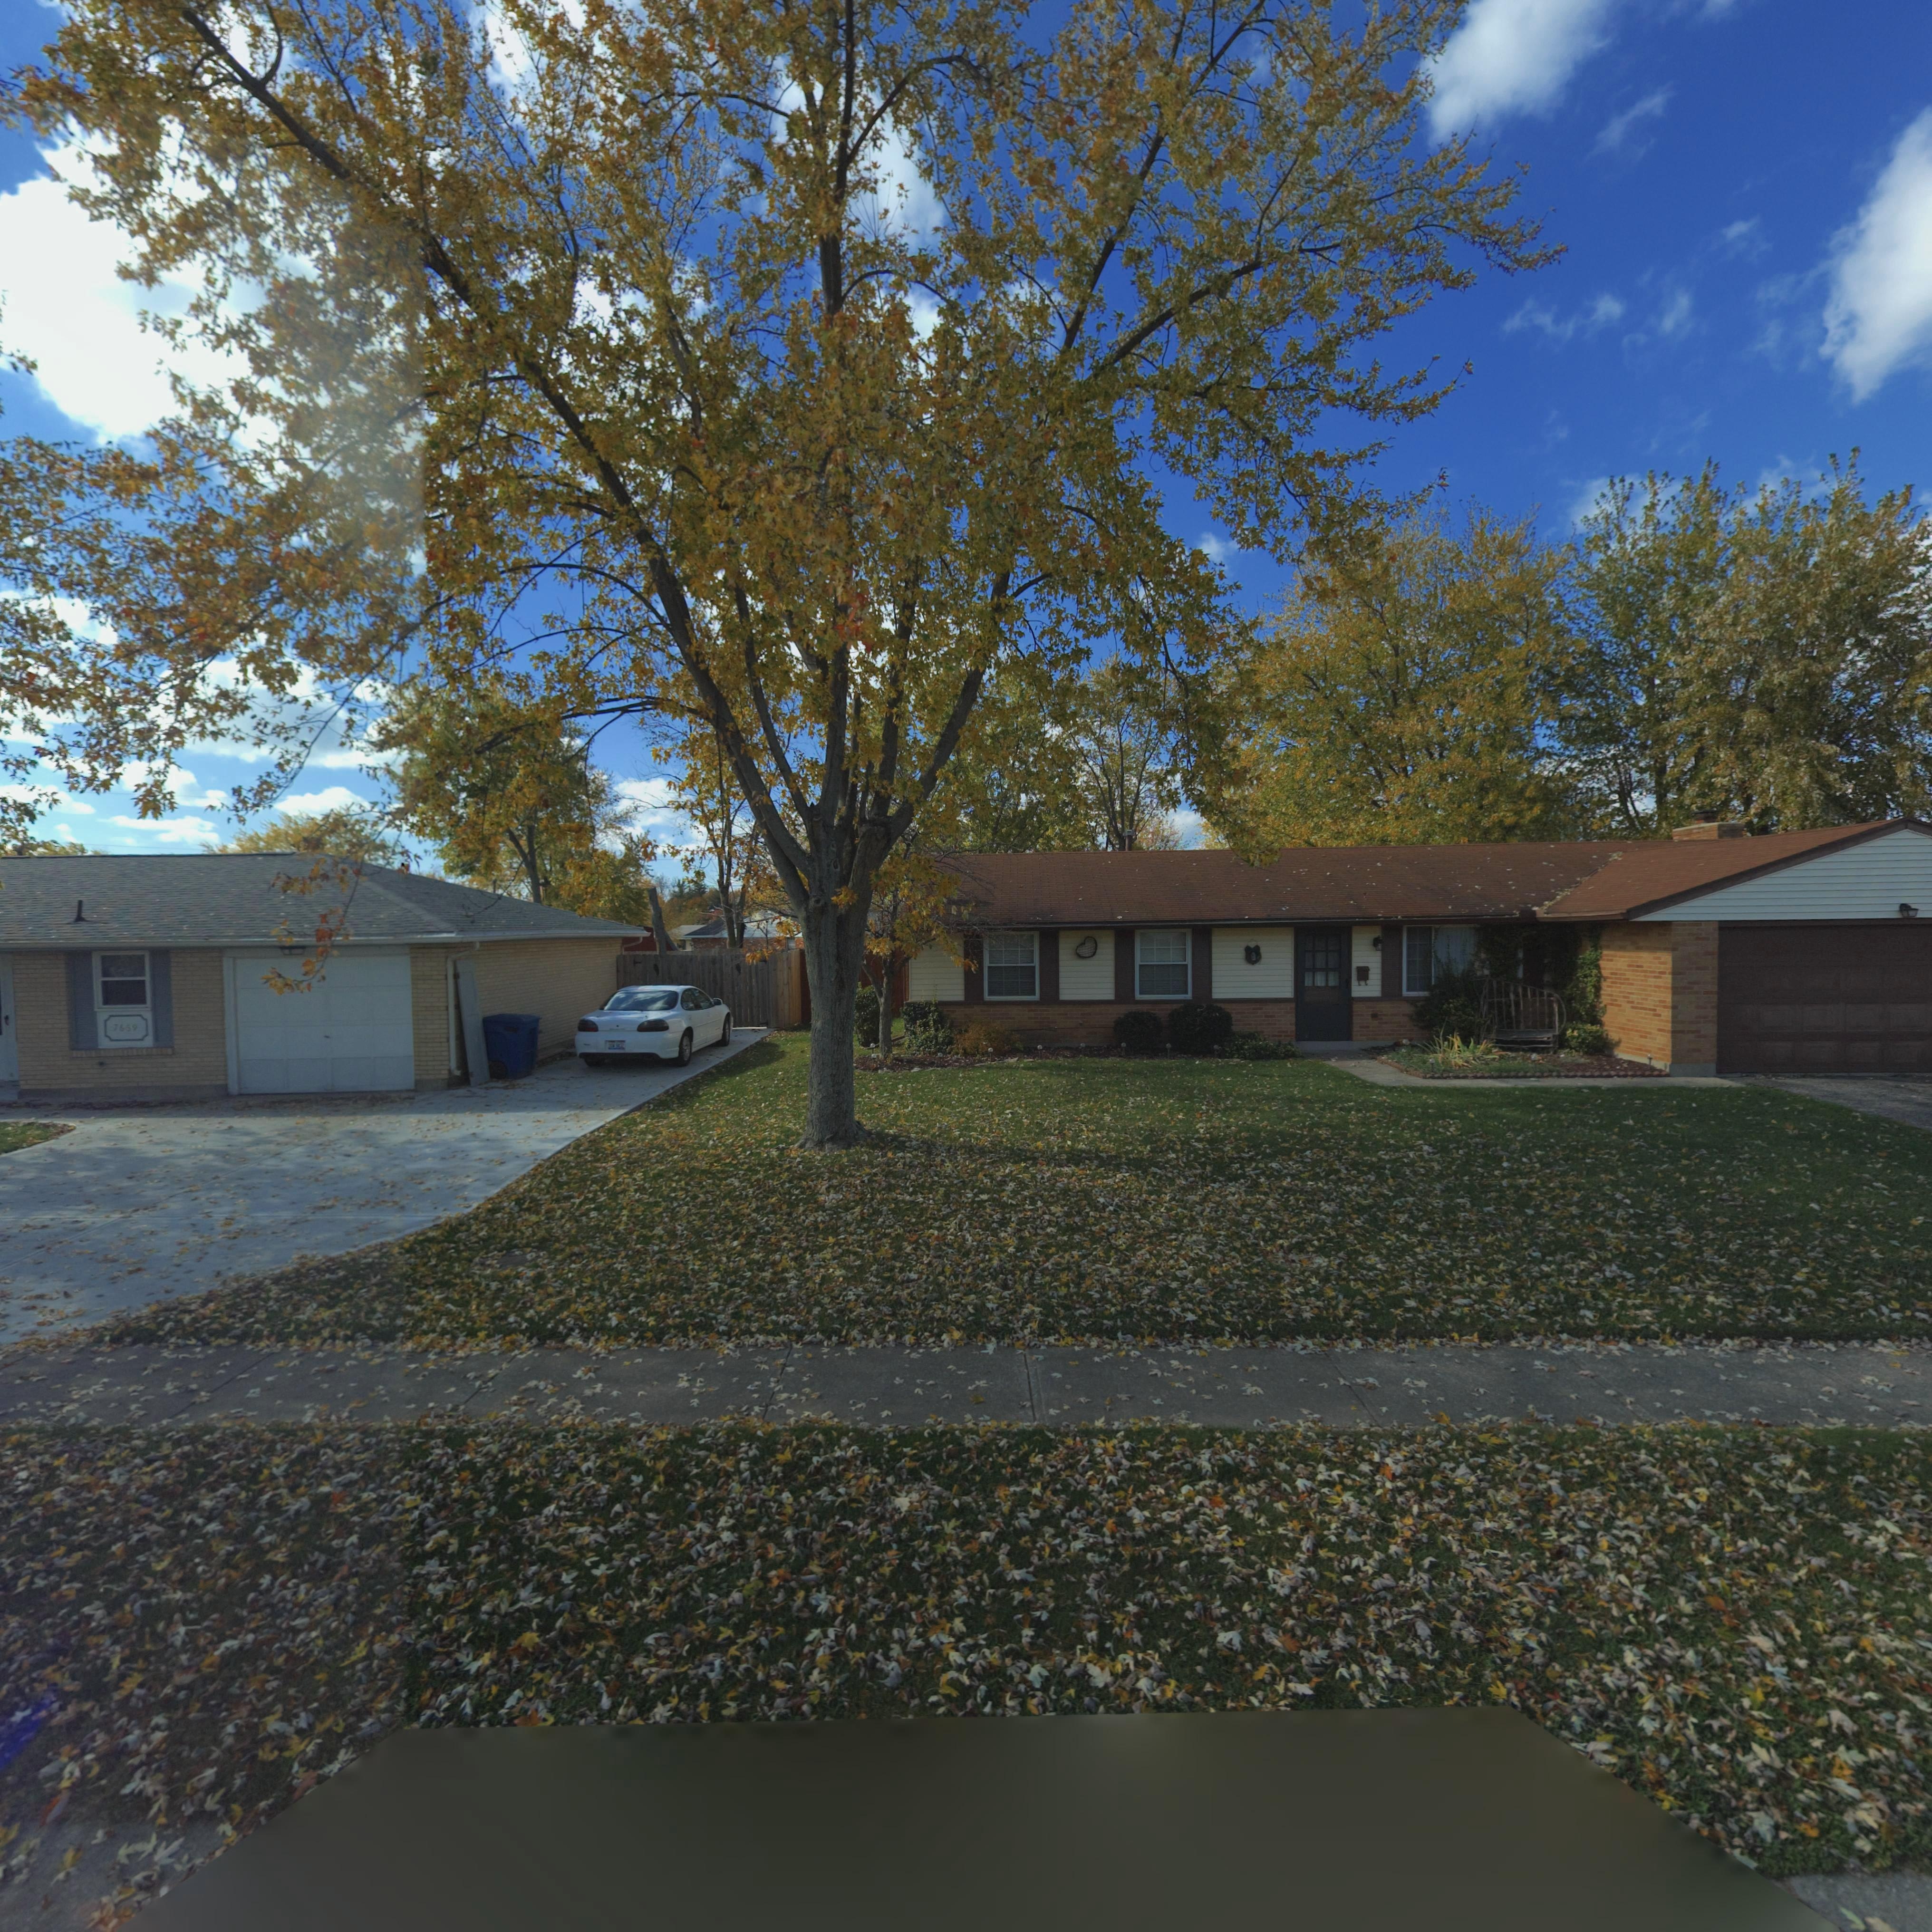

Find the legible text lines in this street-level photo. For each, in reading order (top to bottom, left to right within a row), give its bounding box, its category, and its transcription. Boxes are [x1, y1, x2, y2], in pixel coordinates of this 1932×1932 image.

[112, 1024, 138, 1033] StreetNumber: 7669